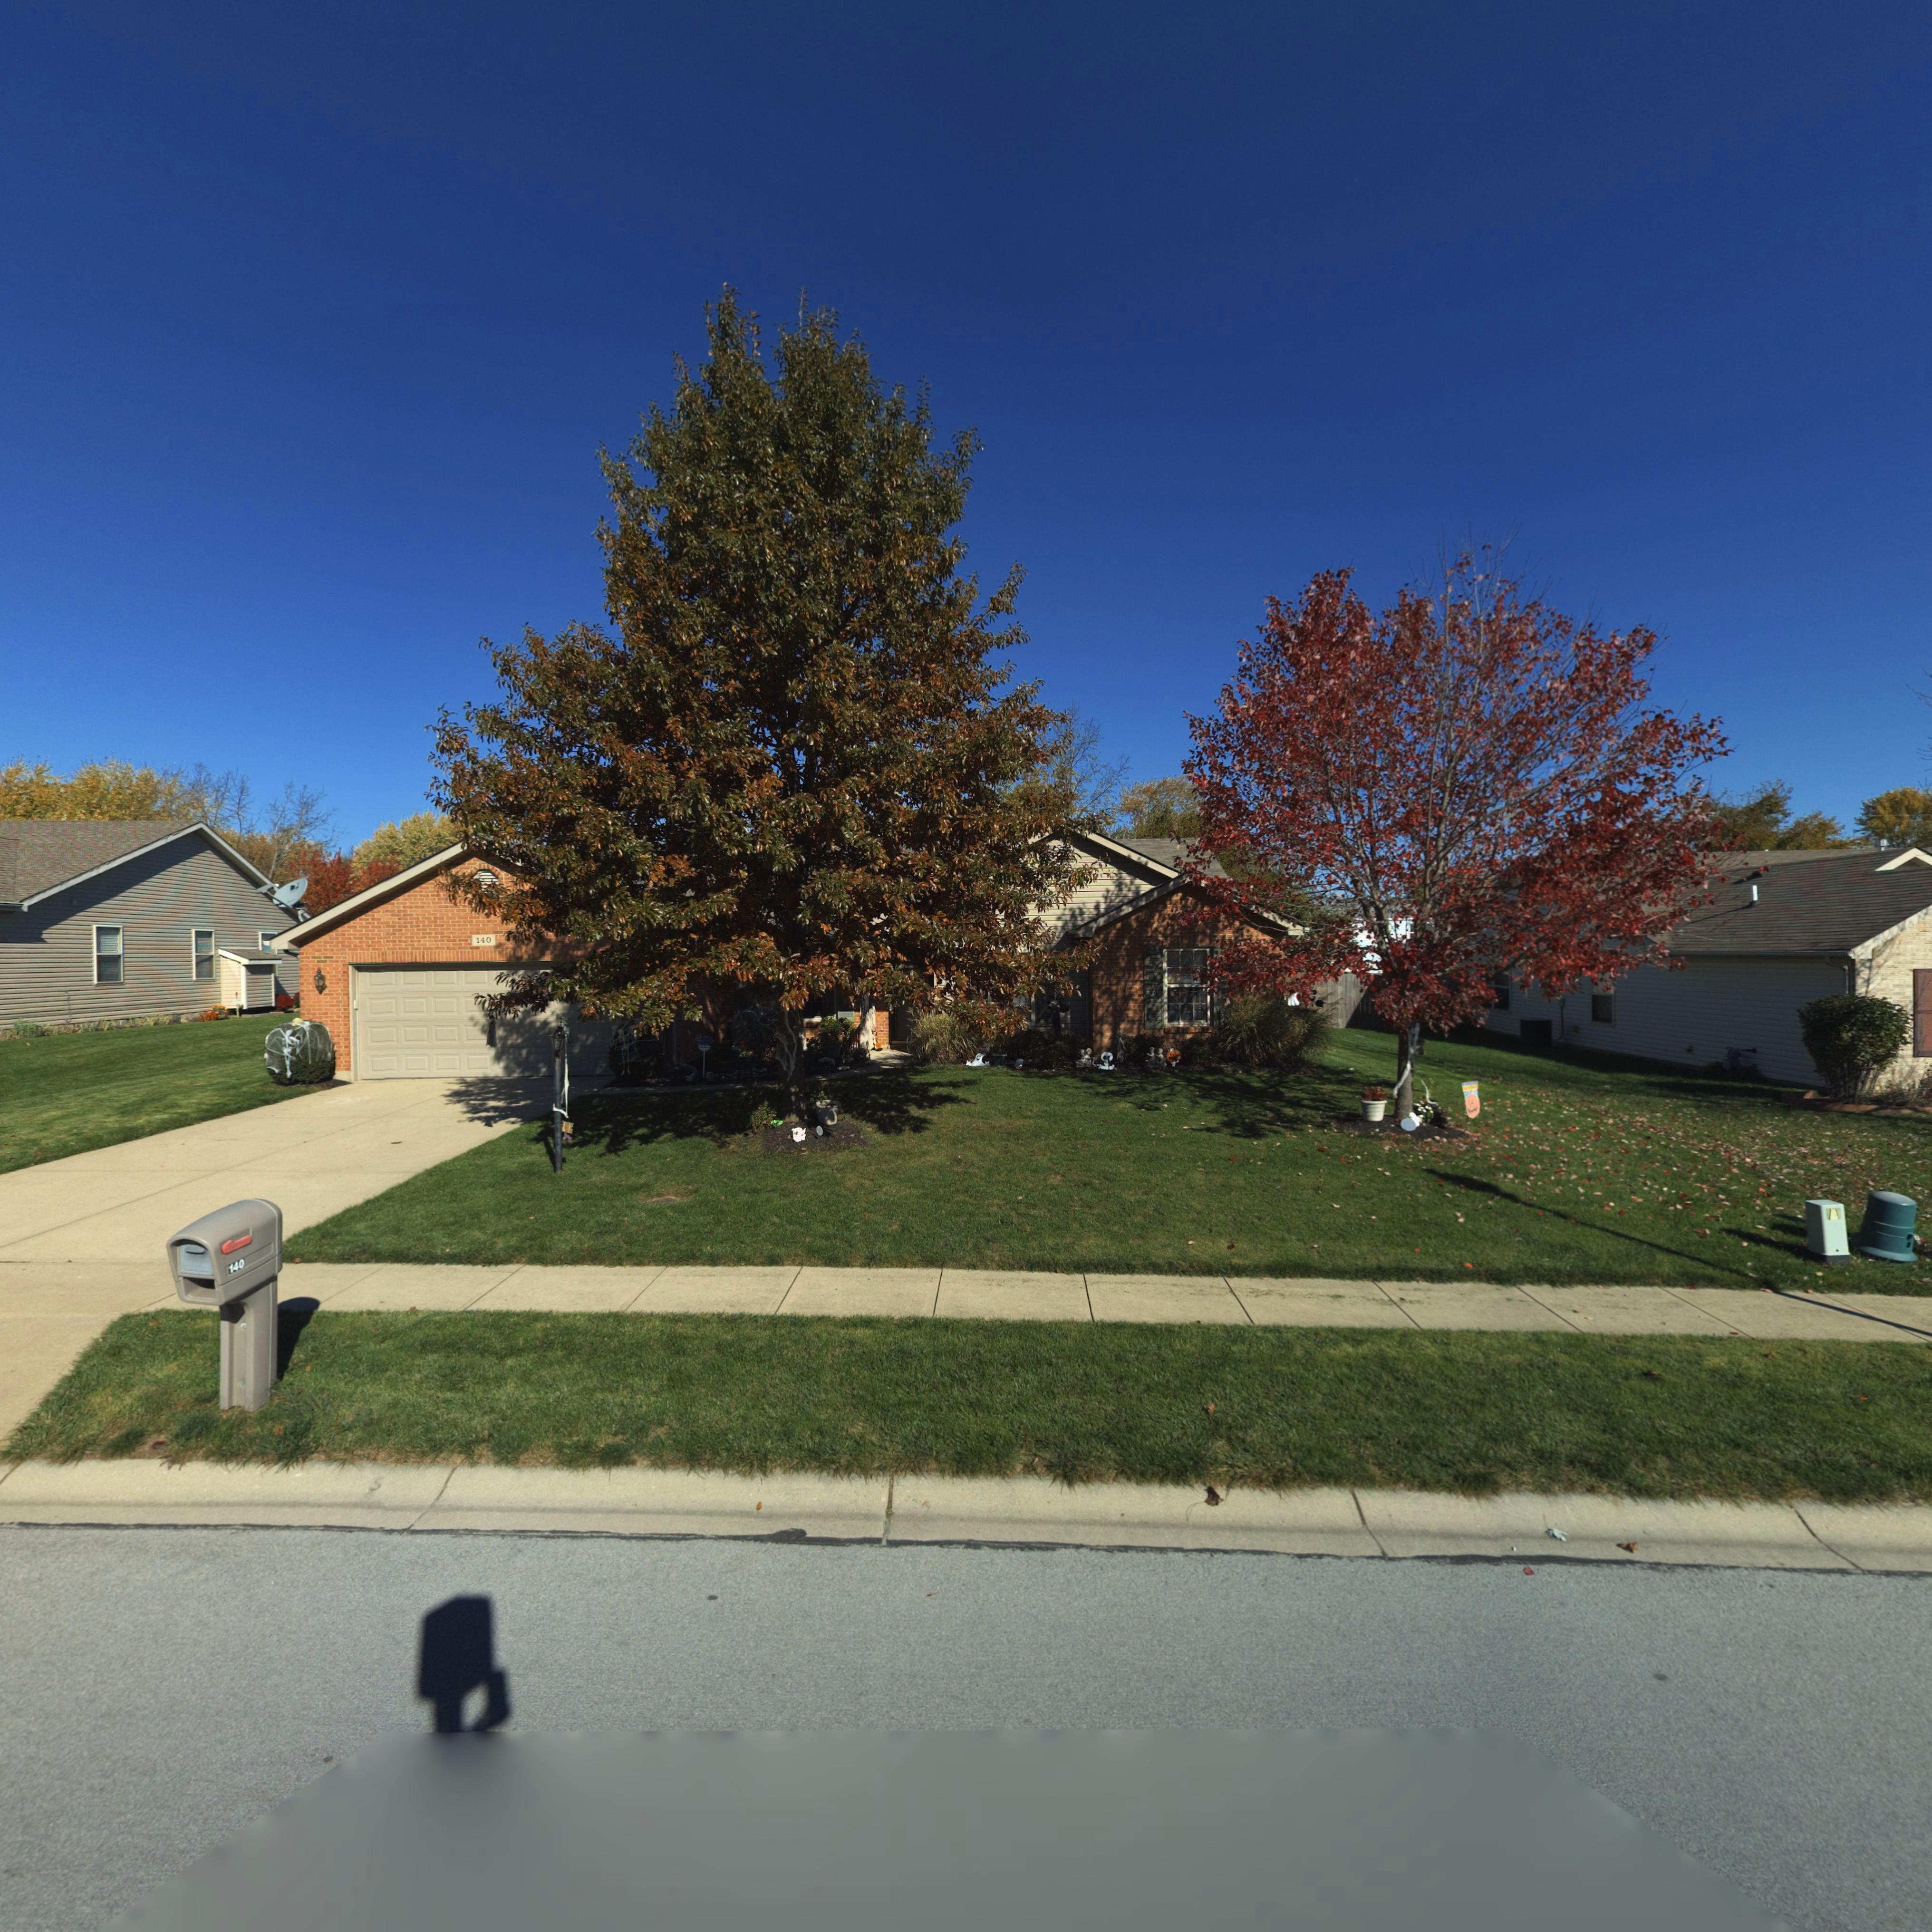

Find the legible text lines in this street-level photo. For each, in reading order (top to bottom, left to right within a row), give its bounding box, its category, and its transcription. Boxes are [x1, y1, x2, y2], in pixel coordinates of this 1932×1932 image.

[476, 937, 492, 944] StreetNumber: 140
[228, 1257, 244, 1275] StreetNumber: 140